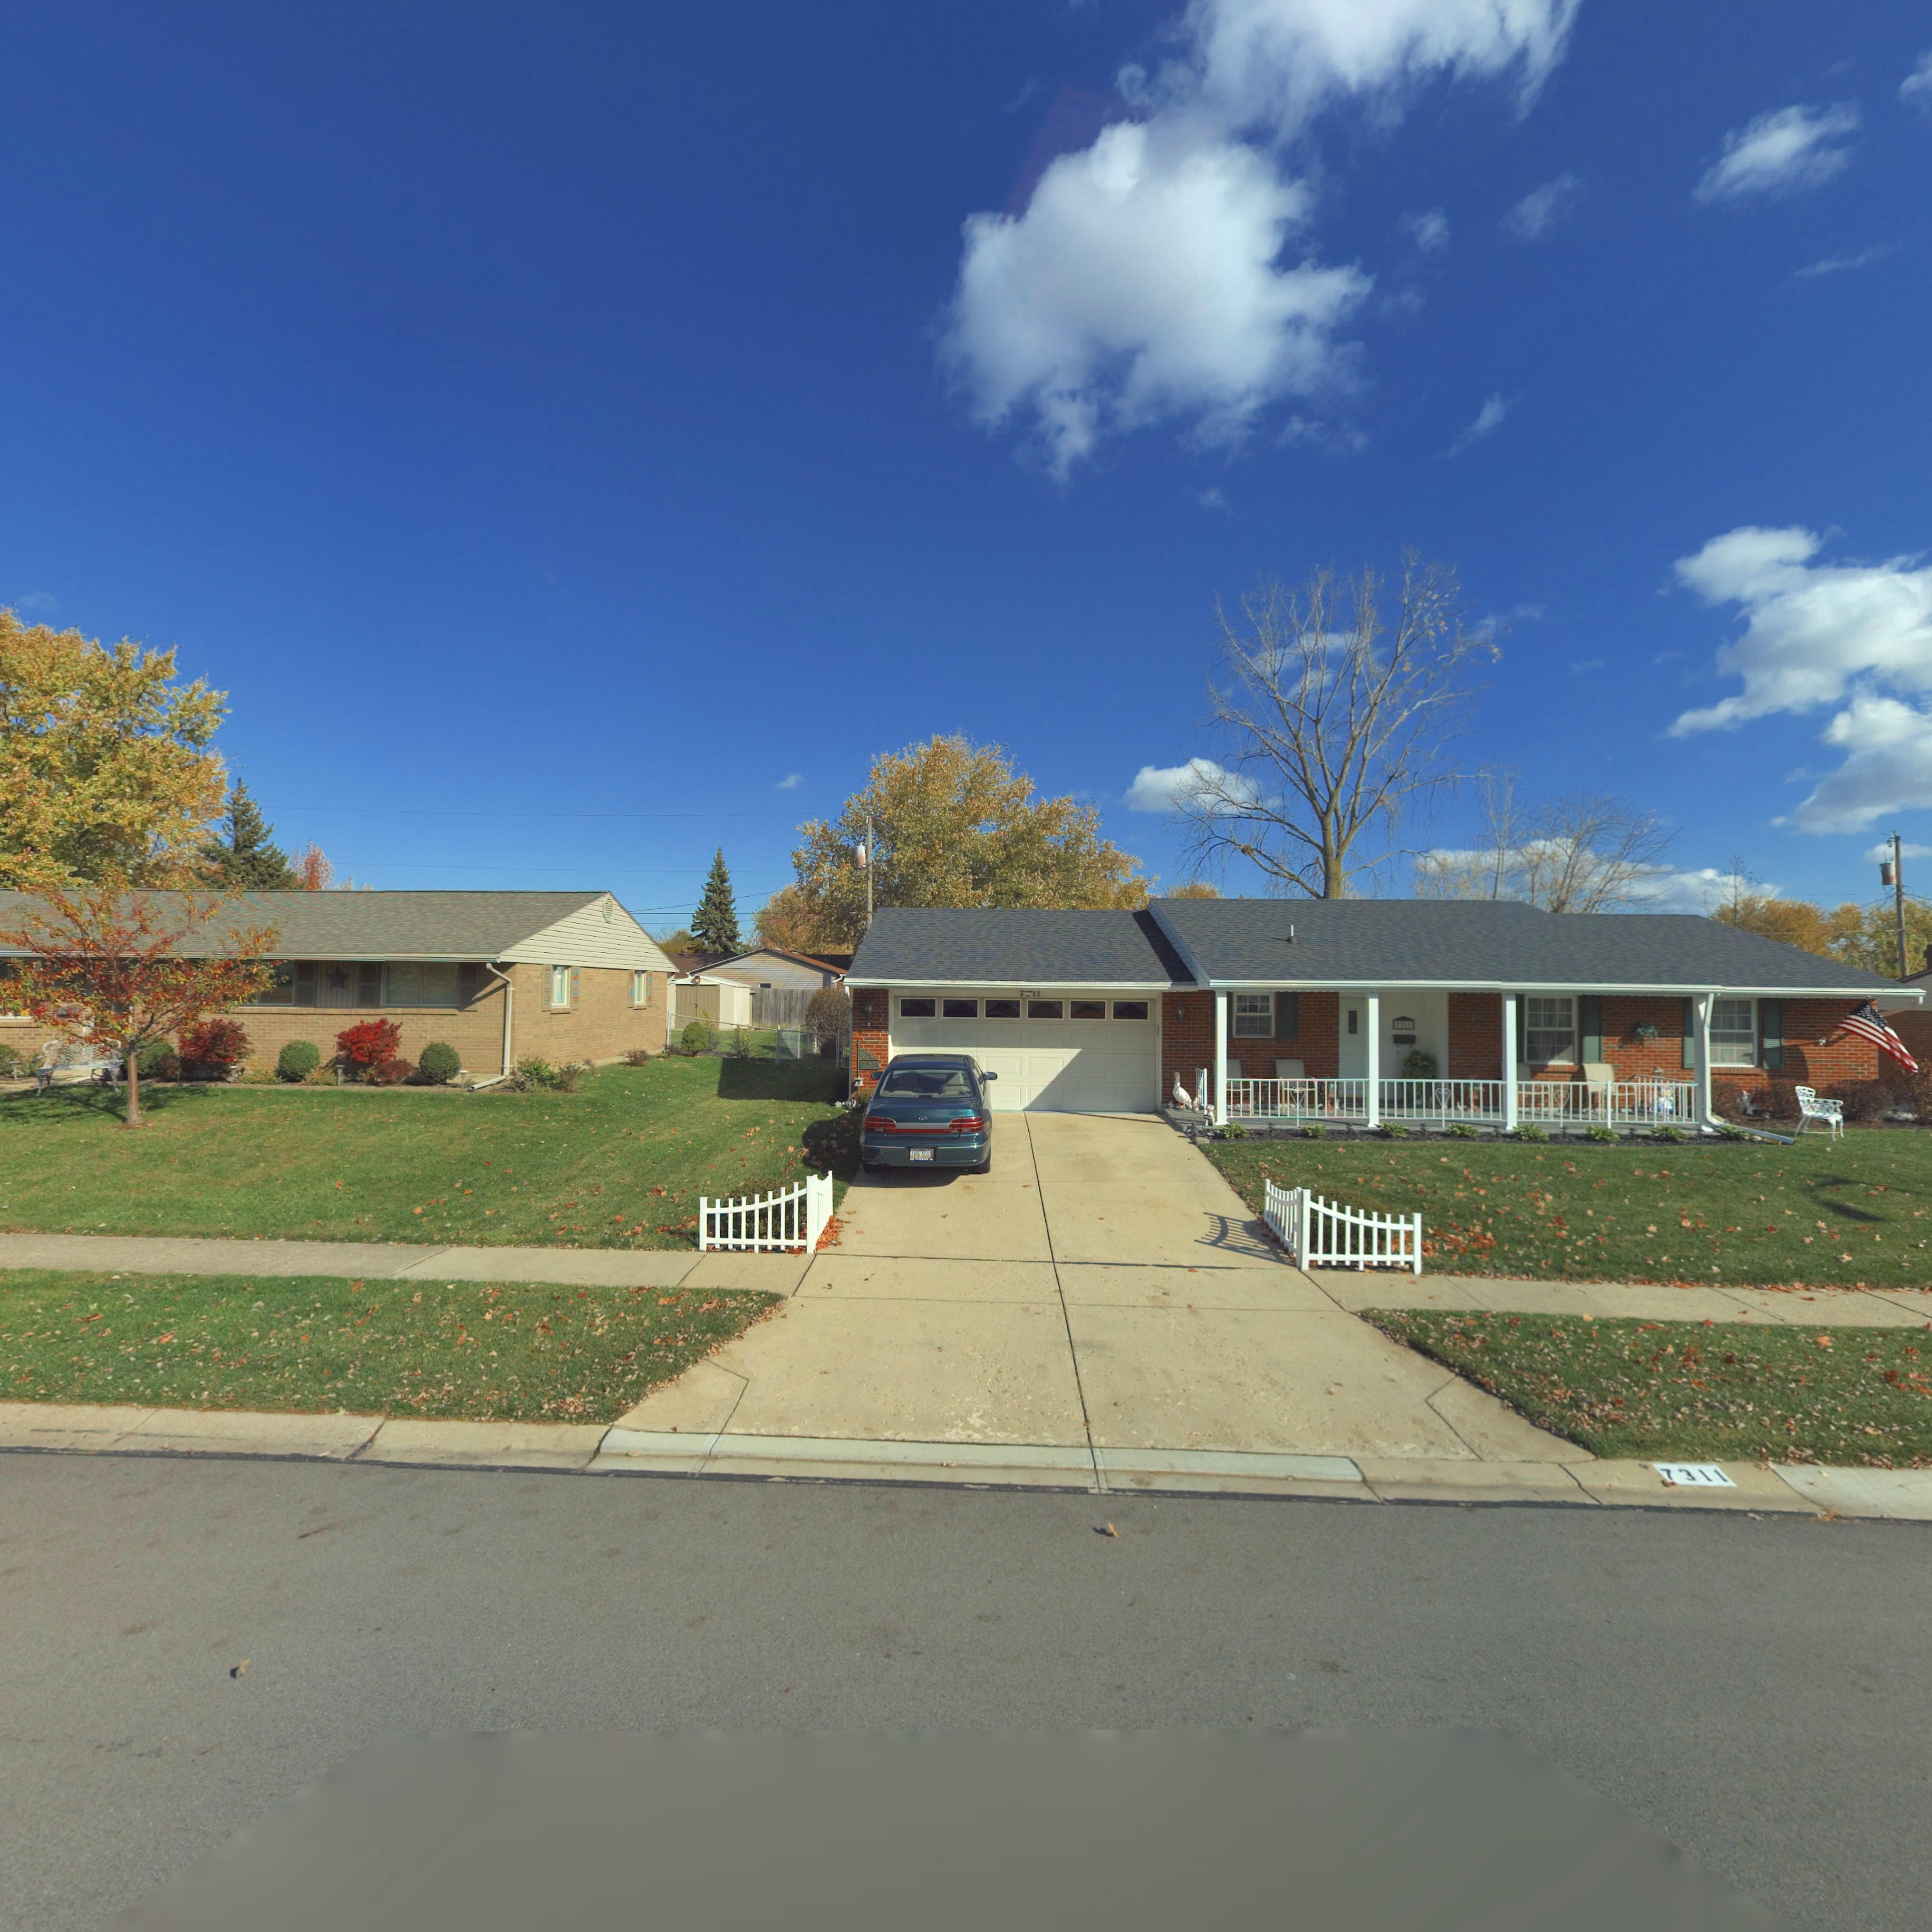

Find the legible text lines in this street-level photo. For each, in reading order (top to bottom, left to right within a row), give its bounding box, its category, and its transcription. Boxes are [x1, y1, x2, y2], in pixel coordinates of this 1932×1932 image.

[1395, 1021, 1411, 1029] StreetNumber: 7*11
[1658, 1468, 1729, 1483] StreetNumber: 7311